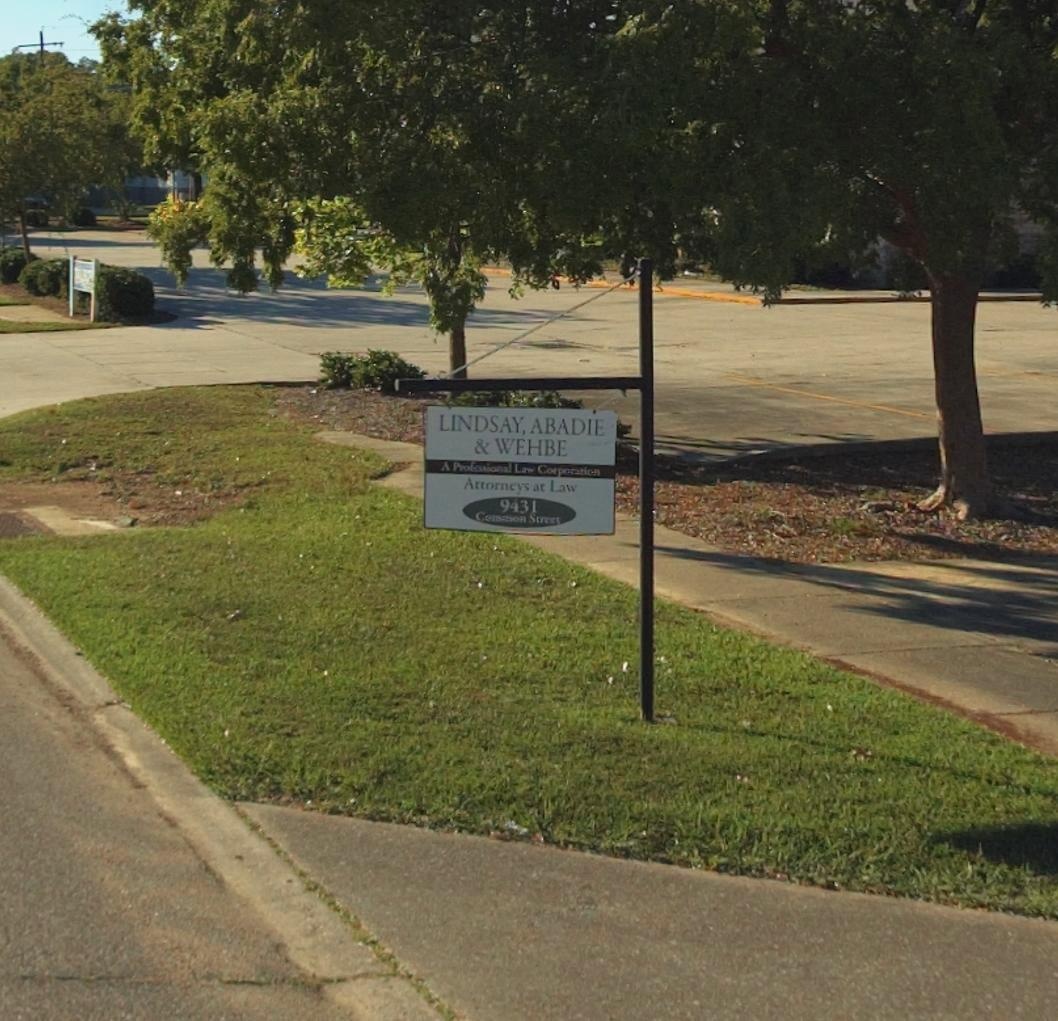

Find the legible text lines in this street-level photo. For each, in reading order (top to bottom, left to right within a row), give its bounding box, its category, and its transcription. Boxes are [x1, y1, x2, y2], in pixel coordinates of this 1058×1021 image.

[437, 413, 606, 437] None: LINDSAY, ABADIE
[473, 437, 569, 457] None: & WEHBE
[440, 460, 601, 478] None: A Professional Law Corporation\
[462, 477, 579, 496] None: Attorneys at Law
[499, 497, 539, 515] StreetNumber: 9431
[474, 511, 561, 525] StreetName: C*mmon Street